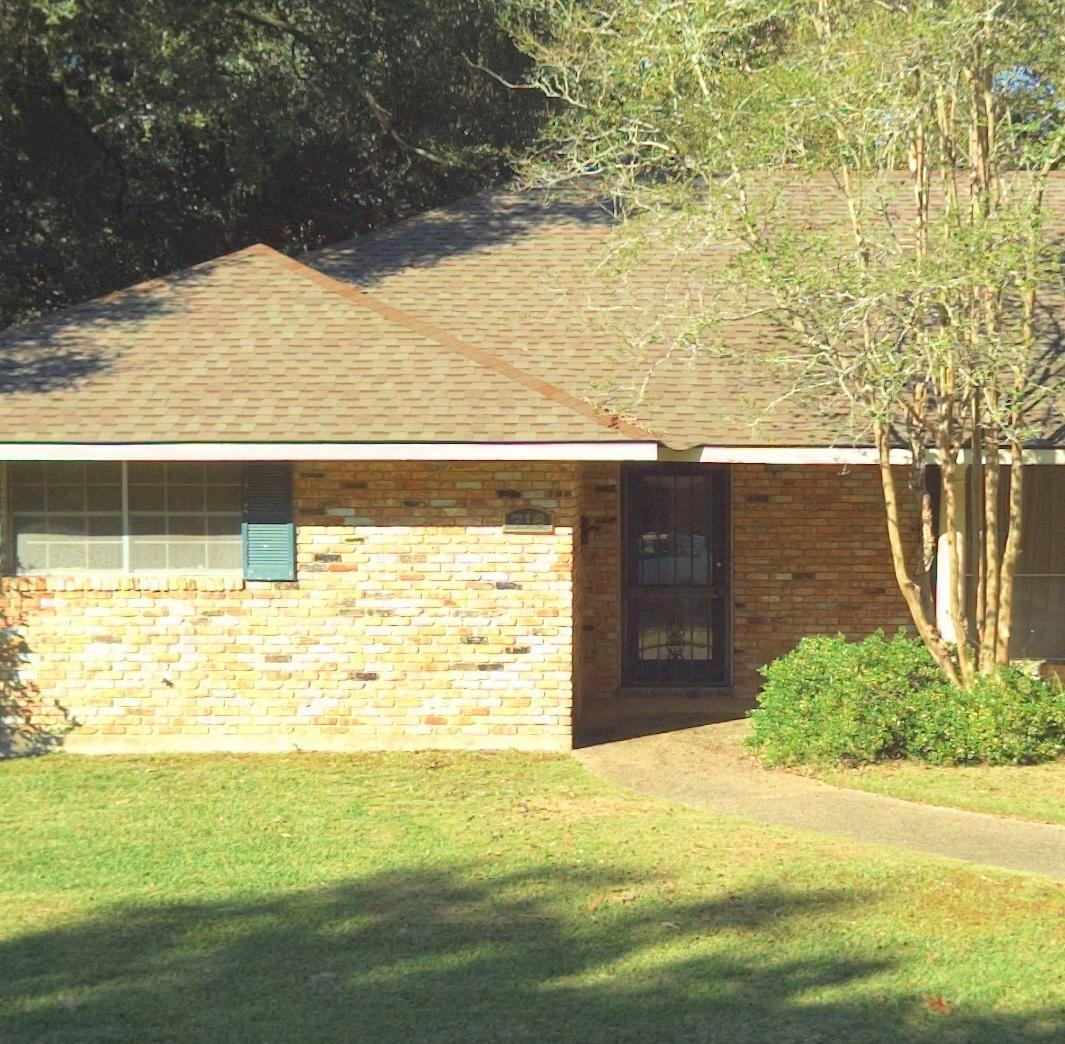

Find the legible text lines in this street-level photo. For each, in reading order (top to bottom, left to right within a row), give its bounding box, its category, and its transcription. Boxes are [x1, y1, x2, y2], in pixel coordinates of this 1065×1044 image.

[508, 511, 548, 531] StreetNumber: 716